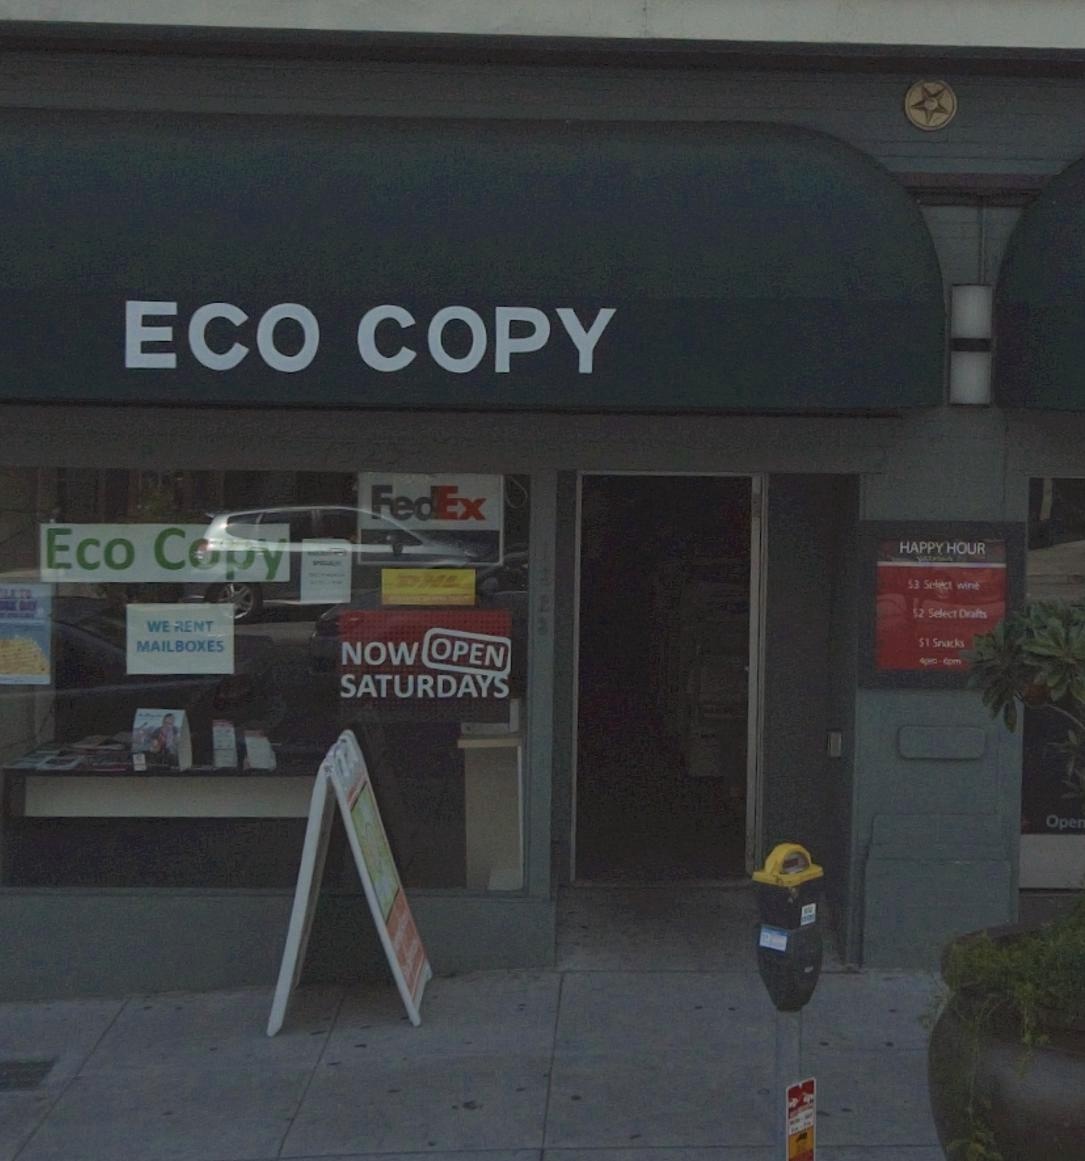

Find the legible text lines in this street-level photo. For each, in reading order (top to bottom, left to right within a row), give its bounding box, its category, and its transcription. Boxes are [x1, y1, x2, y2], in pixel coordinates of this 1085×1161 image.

[122, 299, 623, 376] BusinessName: ECO COPY
[367, 482, 487, 522] None: FedEx
[44, 525, 292, 583] BusinessName: Eco Copy
[898, 539, 988, 556] None: HAPPY HOUR
[392, 572, 466, 590] None: DHL
[536, 540, 553, 637] StreetNumber: 1123
[906, 578, 982, 592] None: $3 Select wine
[911, 606, 989, 620] None: $2 Select Drafts
[146, 619, 213, 635] None: WE RENT
[135, 640, 224, 653] None: MAIL BOXES
[339, 640, 422, 666] None: NOW
[429, 636, 506, 669] None: OPEN
[916, 636, 967, 648] None: $1 Snacks
[338, 673, 510, 698] None: SATURDAYS
[1044, 811, 1077, 832] None: Ope